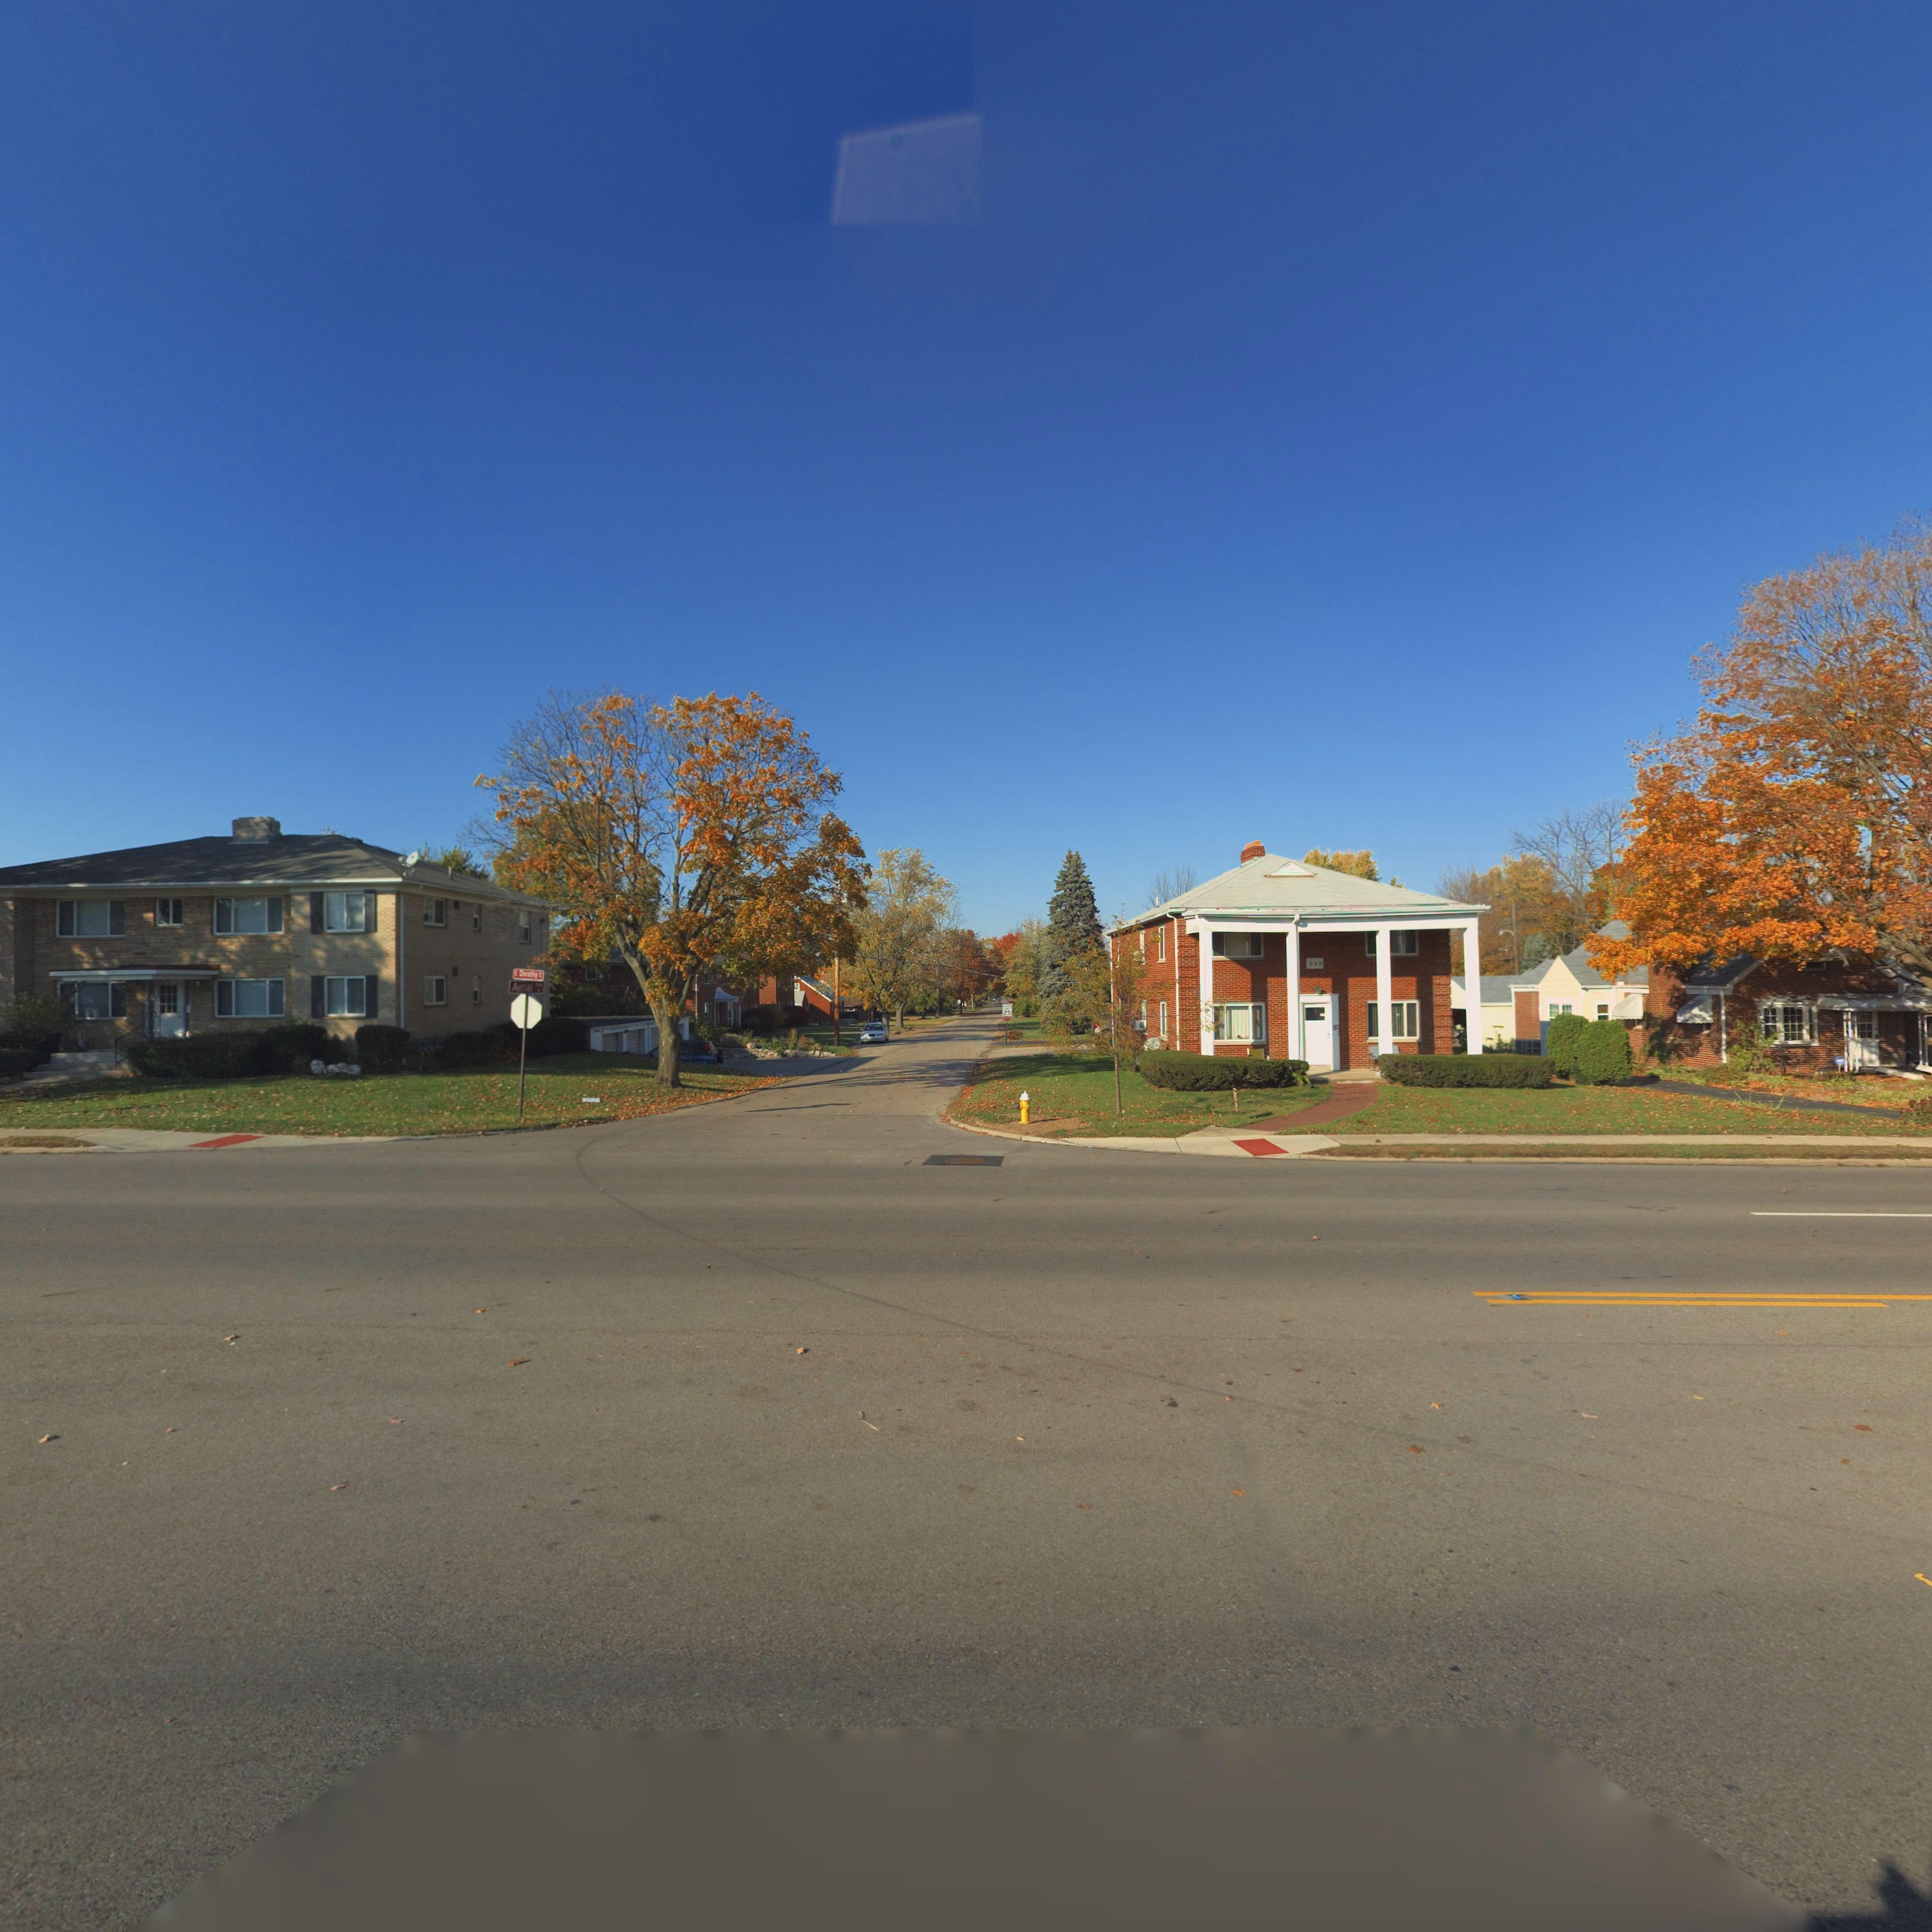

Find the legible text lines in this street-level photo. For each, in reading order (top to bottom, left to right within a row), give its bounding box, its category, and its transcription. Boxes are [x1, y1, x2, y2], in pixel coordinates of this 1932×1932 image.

[1309, 961, 1323, 967] StreetNumber: 555
[514, 969, 539, 981] StreetName: E Dorothy
[510, 982, 534, 993] StreetName: Aerial